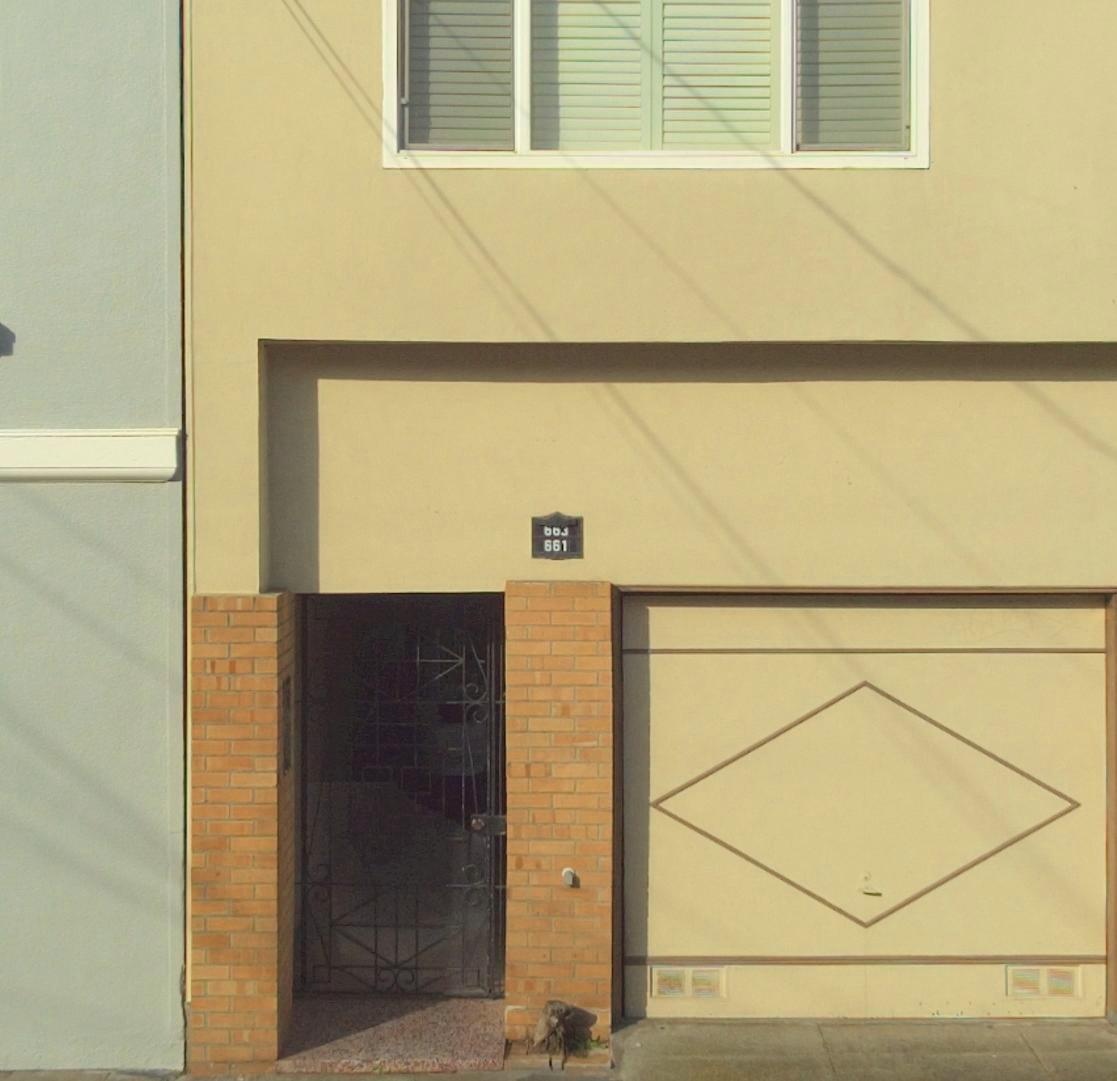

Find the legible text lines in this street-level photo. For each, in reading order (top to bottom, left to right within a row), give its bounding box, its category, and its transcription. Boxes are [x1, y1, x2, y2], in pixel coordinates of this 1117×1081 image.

[541, 523, 570, 539] StreetNumber: 663
[541, 537, 570, 554] StreetNumber: 661